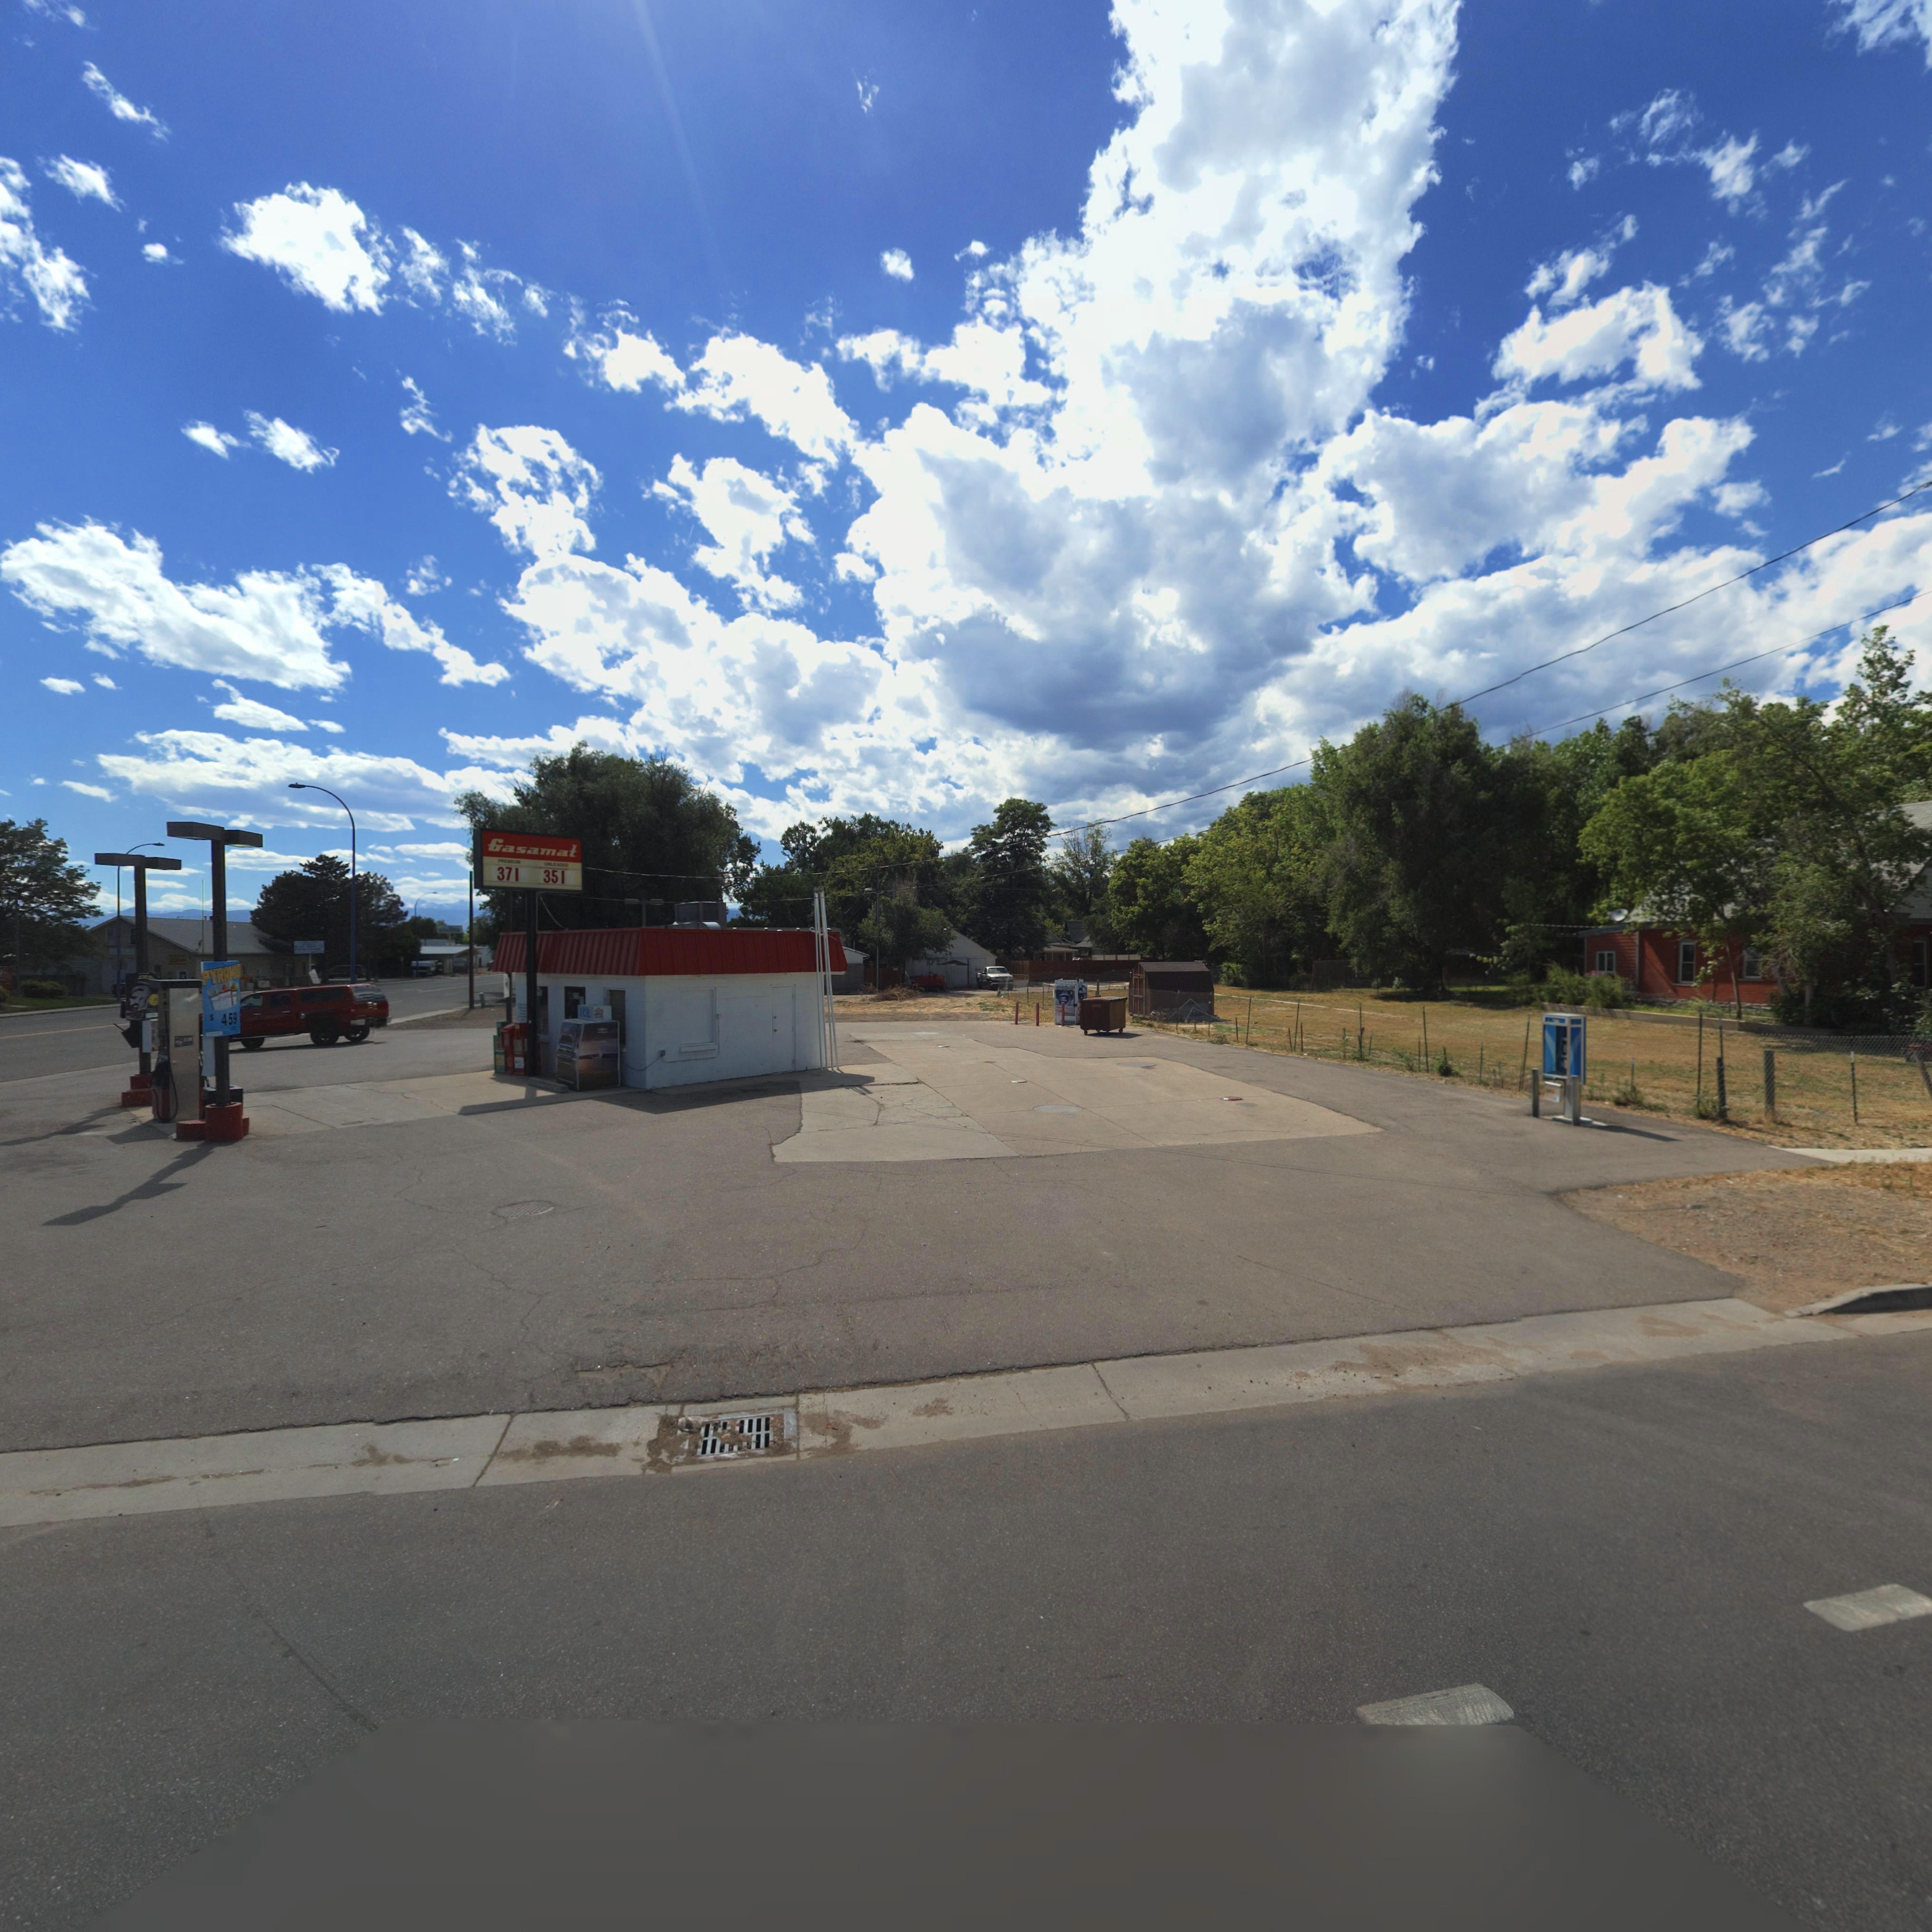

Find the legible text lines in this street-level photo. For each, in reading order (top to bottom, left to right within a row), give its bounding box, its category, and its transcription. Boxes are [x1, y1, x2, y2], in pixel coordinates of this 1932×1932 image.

[487, 837, 578, 858] BusinessName: Gasamat